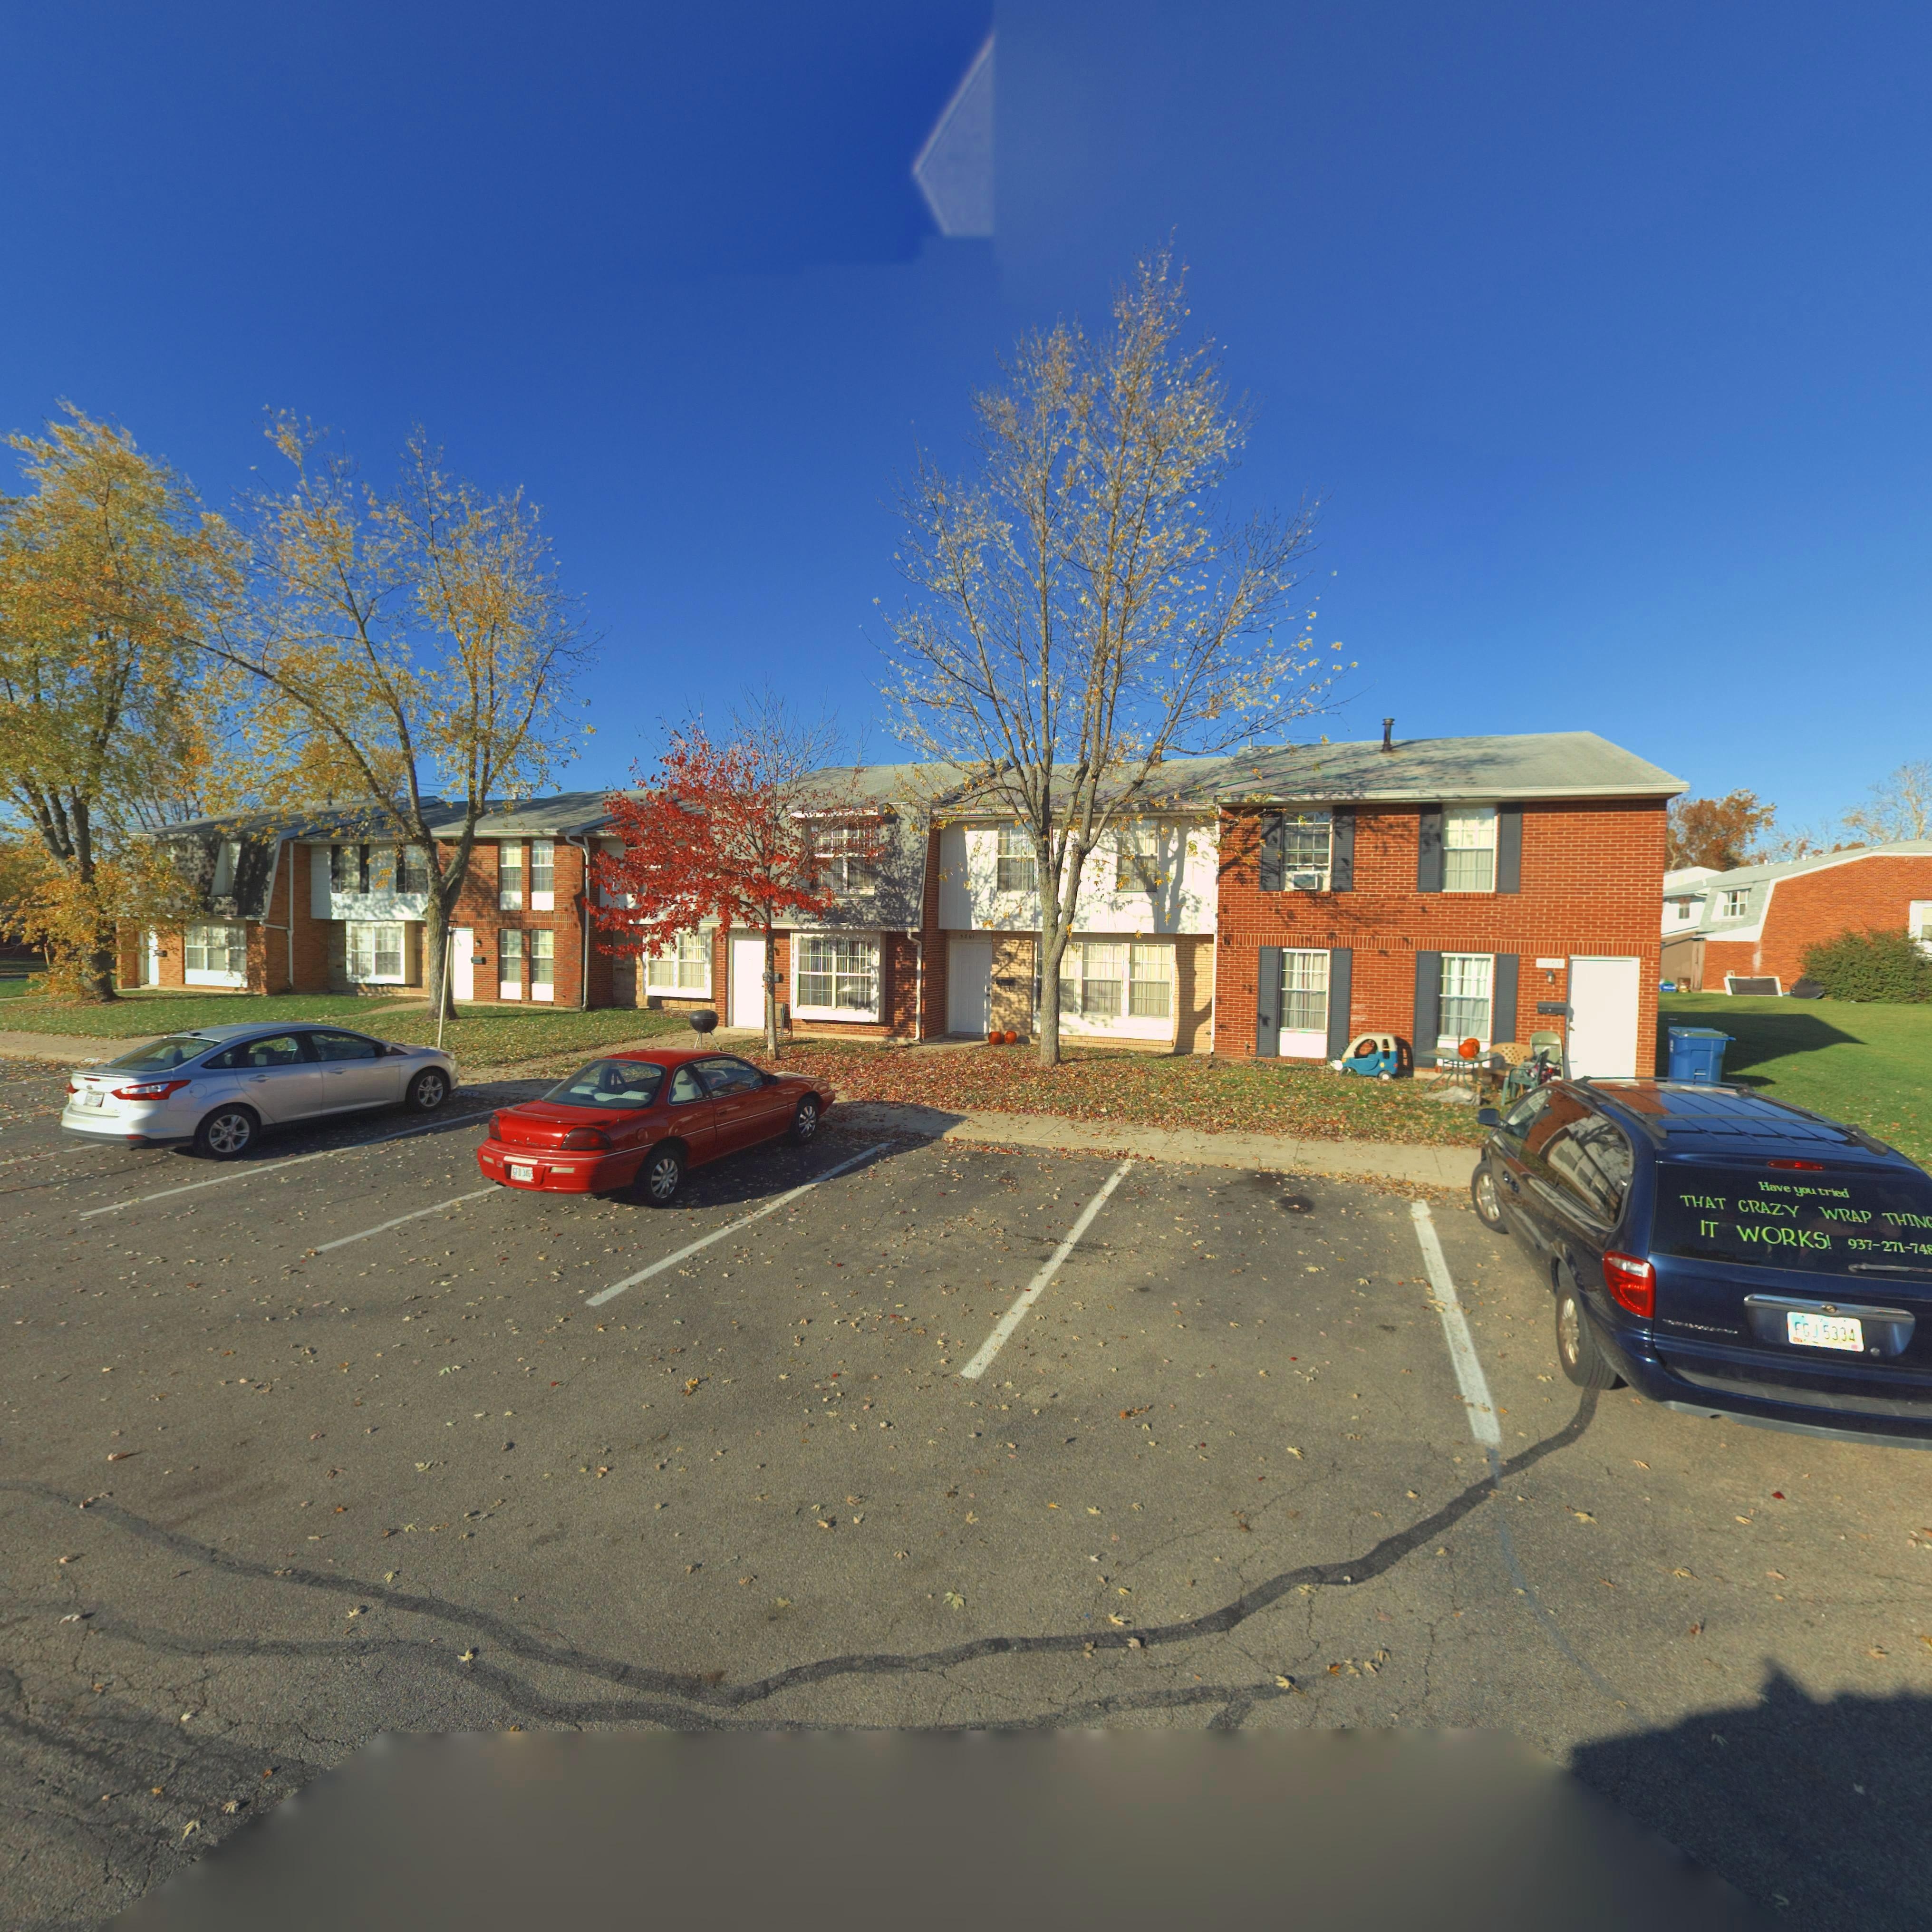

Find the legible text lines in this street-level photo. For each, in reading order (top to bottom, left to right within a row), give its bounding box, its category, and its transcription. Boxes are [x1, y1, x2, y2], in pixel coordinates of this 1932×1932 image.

[733, 928, 756, 936] StreetNumber: *85*
[959, 933, 976, 940] StreetNumber: **61